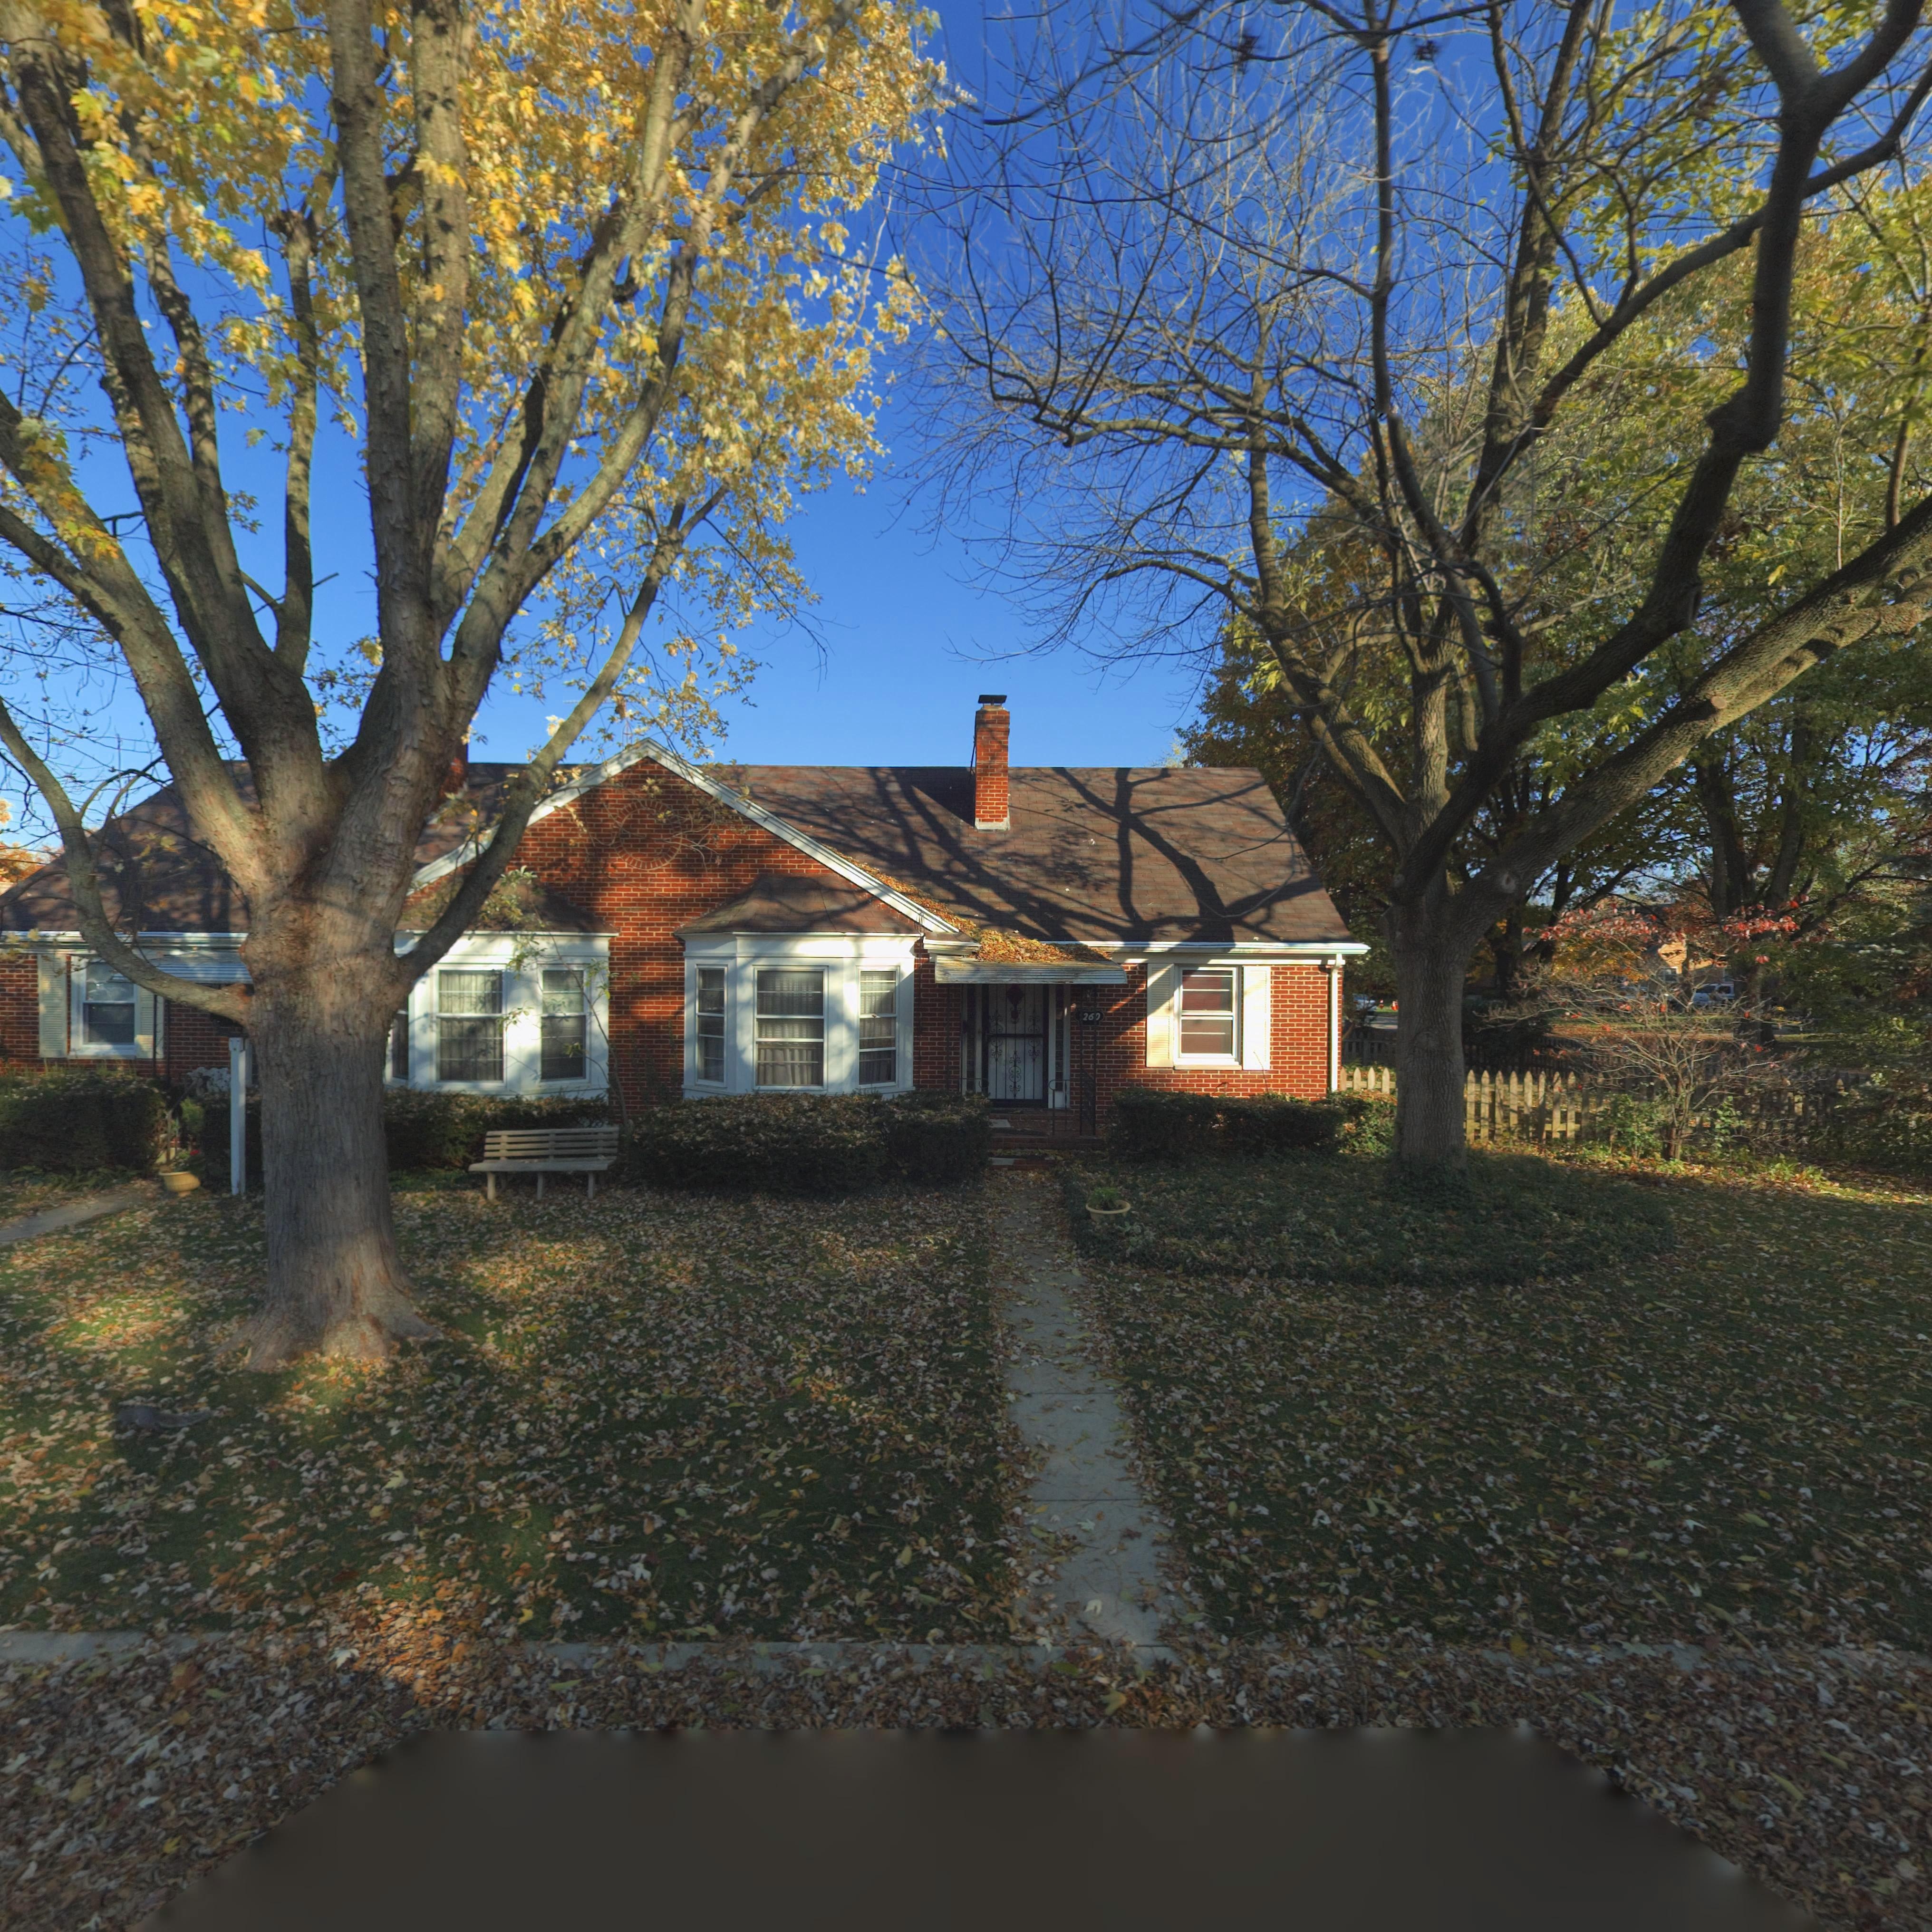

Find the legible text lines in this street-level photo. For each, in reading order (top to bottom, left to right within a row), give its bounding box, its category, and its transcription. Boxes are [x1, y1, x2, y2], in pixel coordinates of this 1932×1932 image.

[1082, 1012, 1101, 1022] StreetNumber: 26*